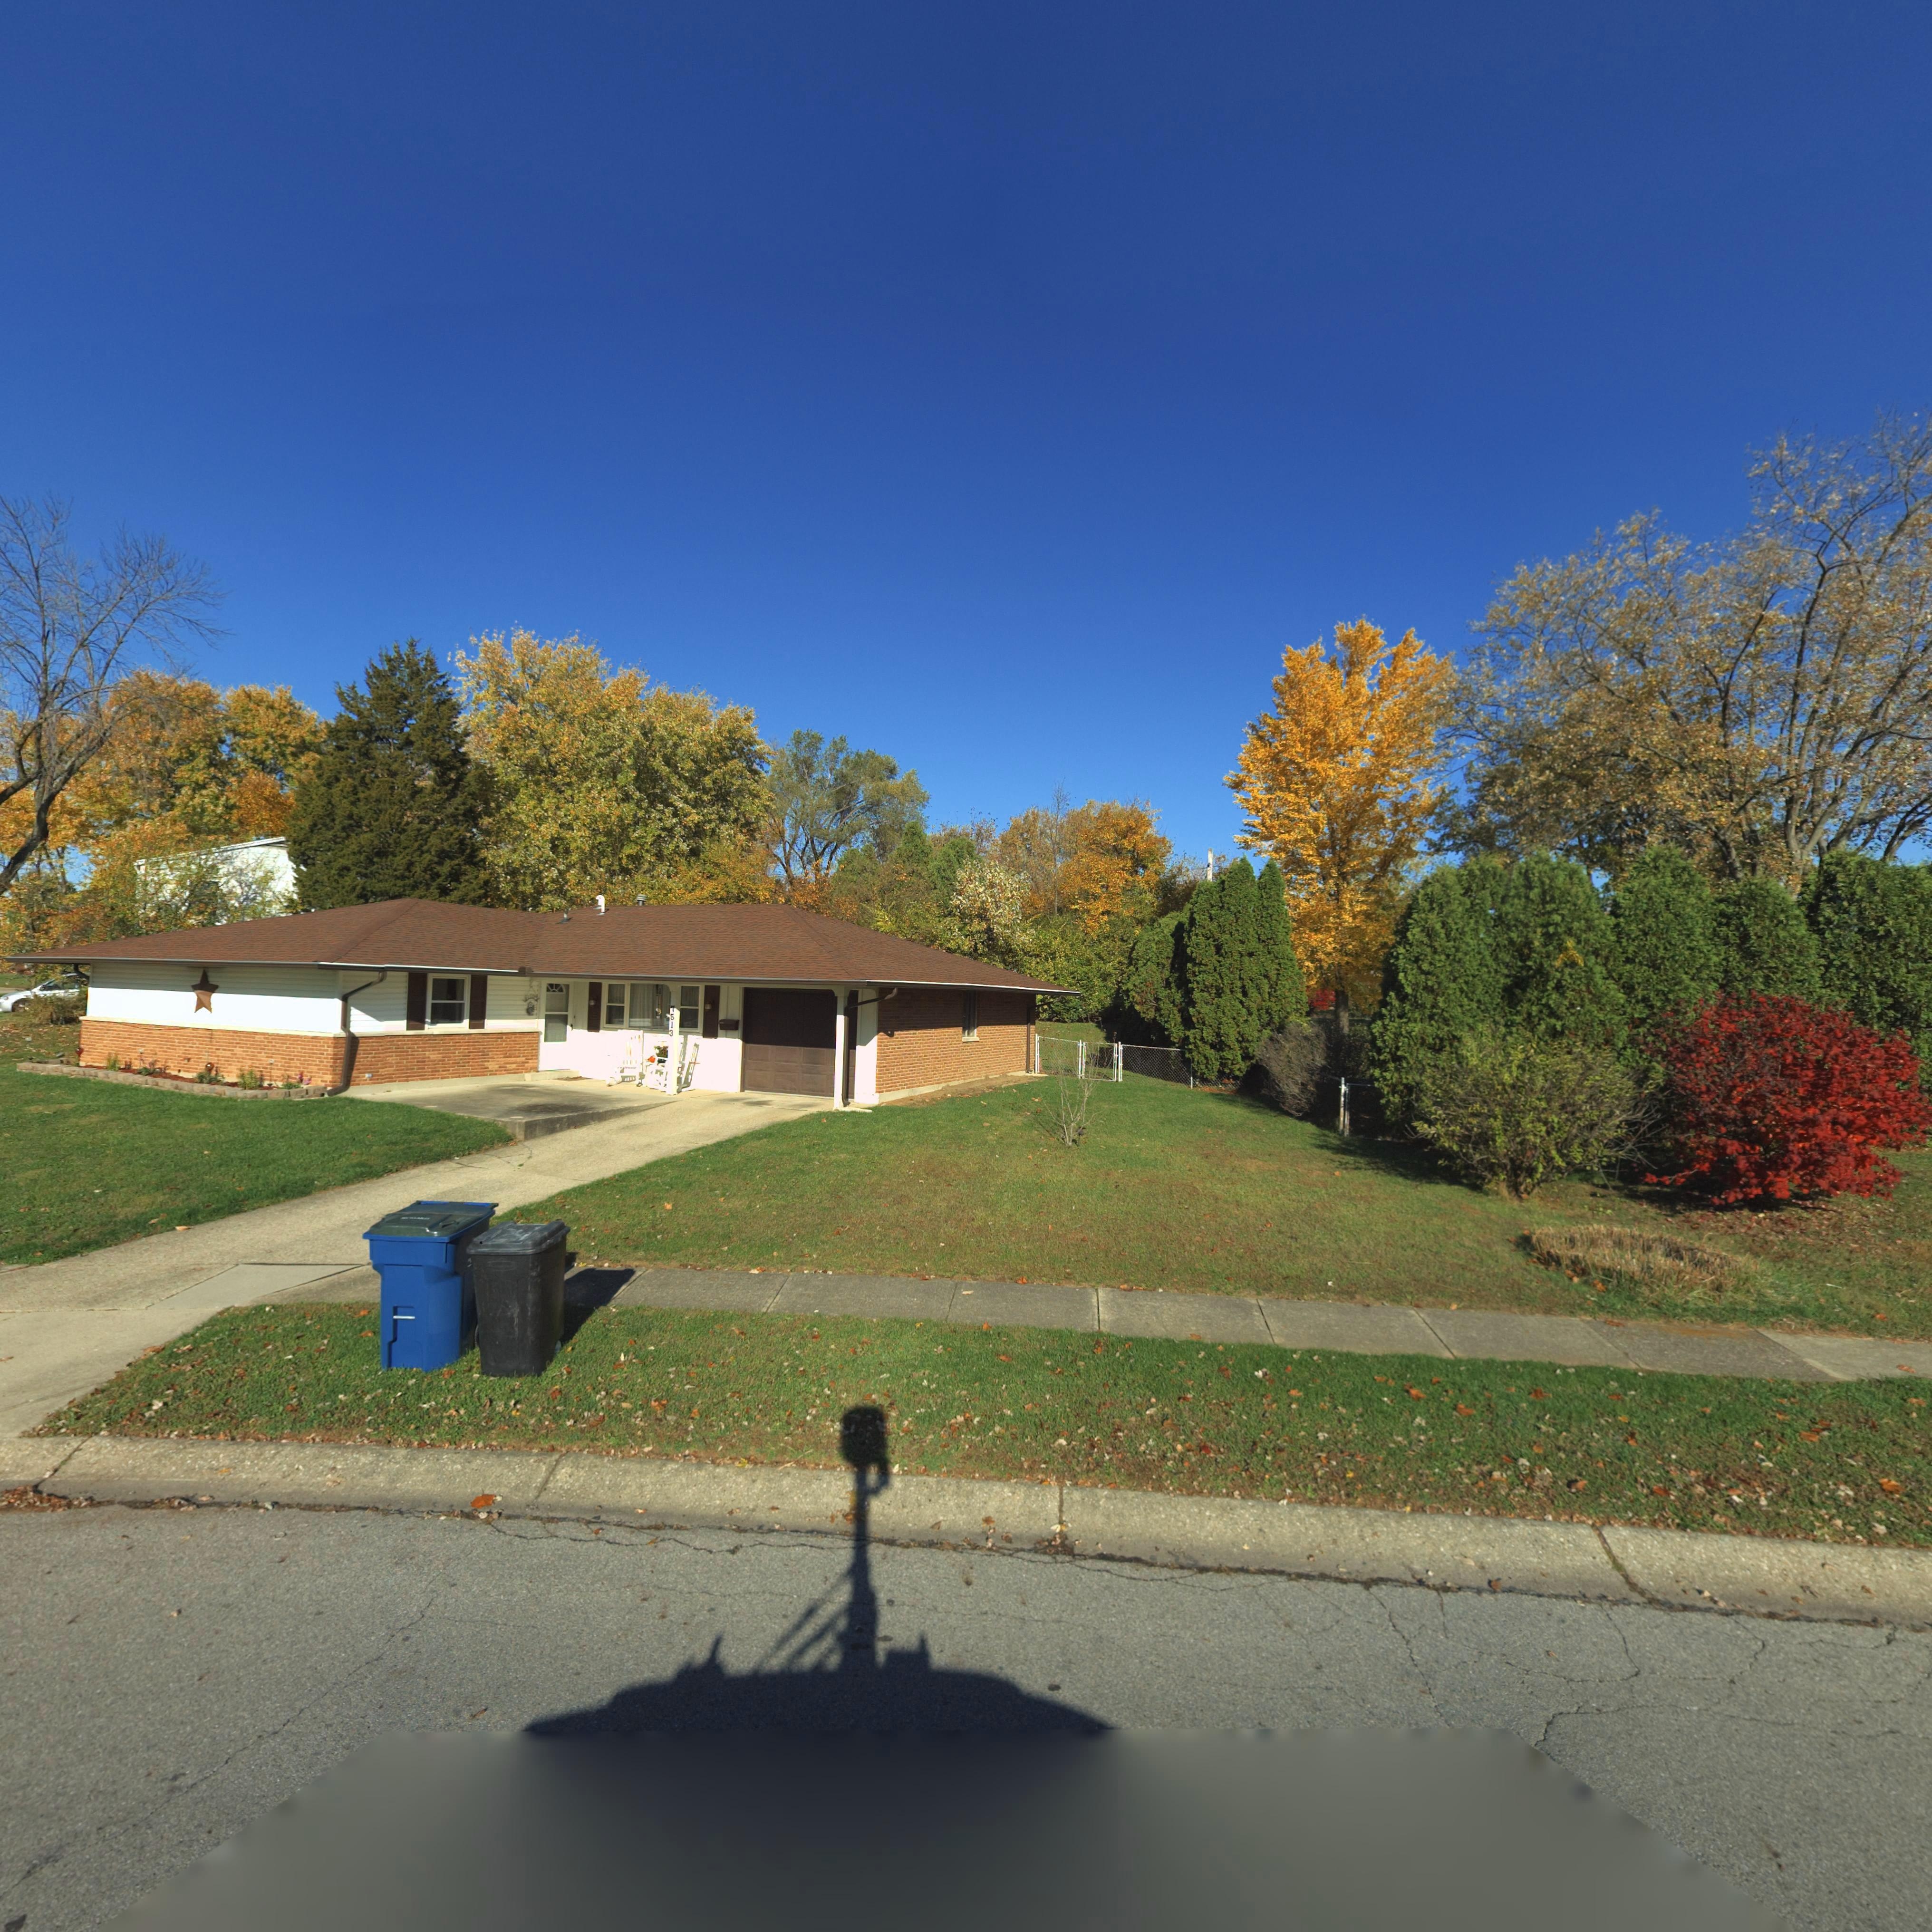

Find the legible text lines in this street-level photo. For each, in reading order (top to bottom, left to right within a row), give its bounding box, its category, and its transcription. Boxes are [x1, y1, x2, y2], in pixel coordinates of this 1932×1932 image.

[668, 1005, 676, 1038] StreetNumber: 7513